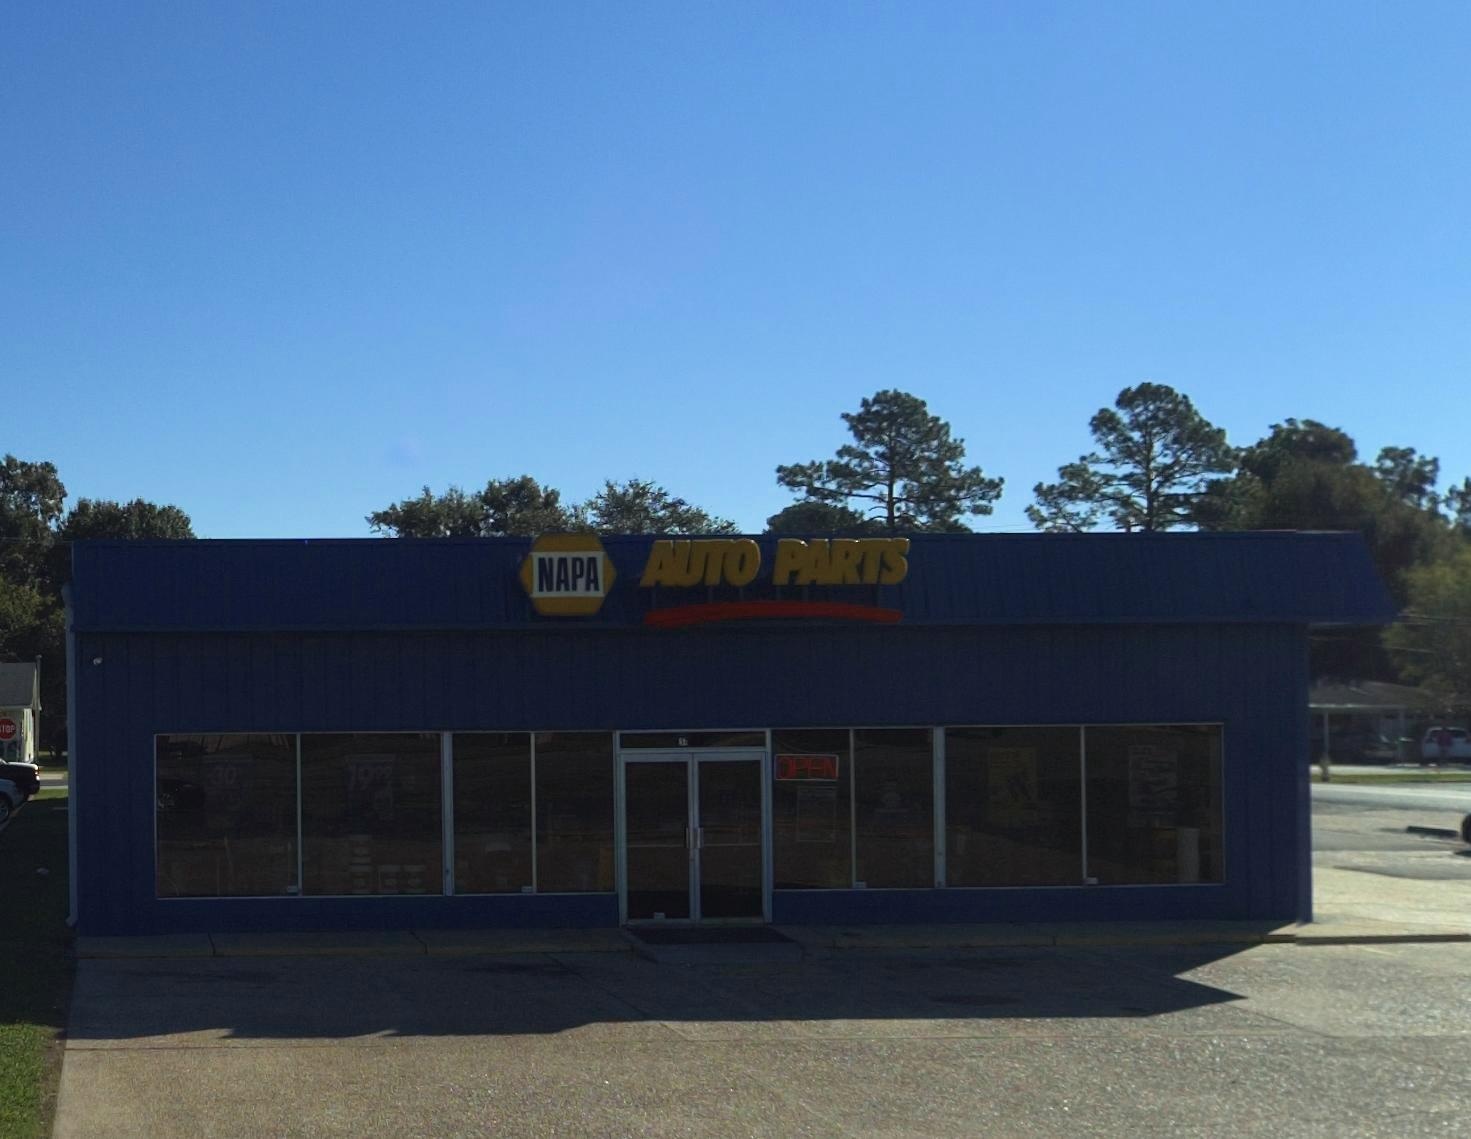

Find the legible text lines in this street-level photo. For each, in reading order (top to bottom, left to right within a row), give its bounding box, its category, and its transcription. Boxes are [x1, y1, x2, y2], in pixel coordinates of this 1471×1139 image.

[537, 556, 600, 593] BusinessName: NAPA
[637, 536, 912, 588] None: AUTO PARTS
[5, 724, 16, 734] None: OP
[209, 764, 239, 787] None: 30
[346, 762, 393, 794] None: 1999
[775, 756, 838, 780] None: OPEN